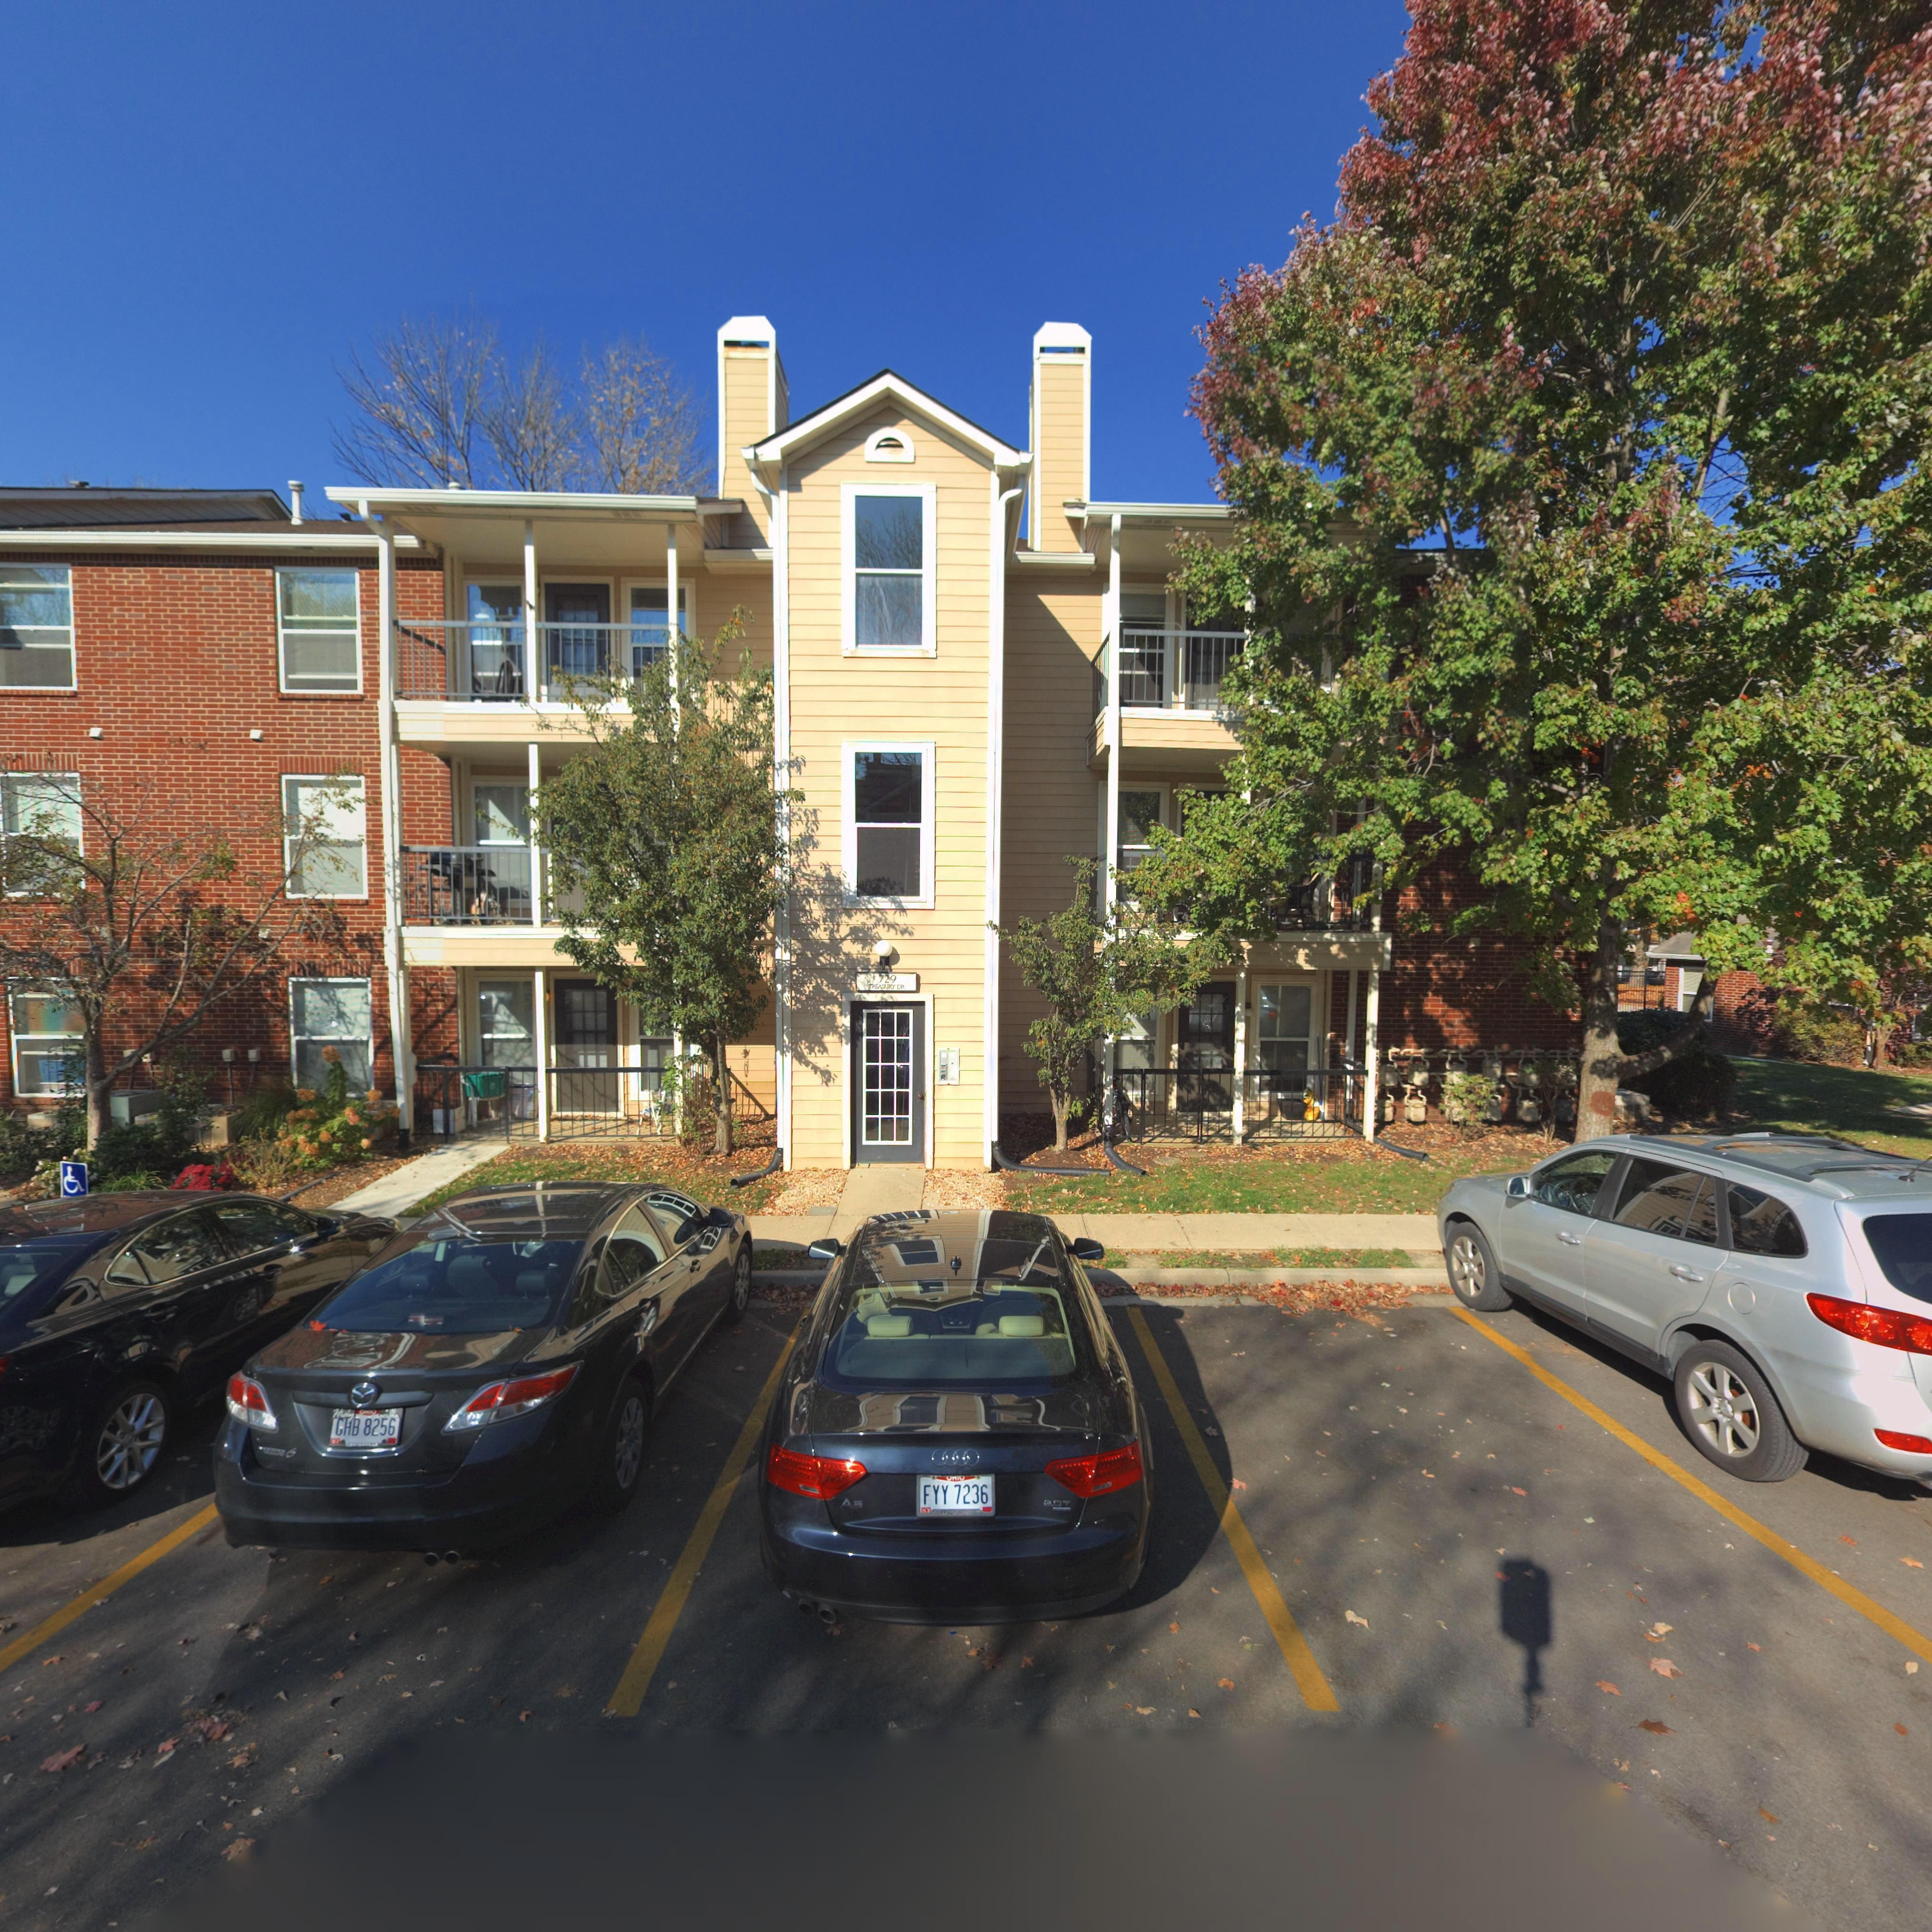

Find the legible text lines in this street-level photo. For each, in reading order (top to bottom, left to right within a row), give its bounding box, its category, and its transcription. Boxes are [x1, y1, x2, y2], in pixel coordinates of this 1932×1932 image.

[879, 974, 898, 984] None: 729
[868, 983, 906, 991] None: TREASURY DR
[334, 1417, 397, 1437] None: GHB 8256
[330, 1438, 342, 1445] None: *7
[284, 1444, 299, 1459] None: 6
[922, 1482, 989, 1506] None: FYY 7236
[838, 1497, 865, 1511] None: A*
[1042, 1498, 1072, 1508] None: 2.0T